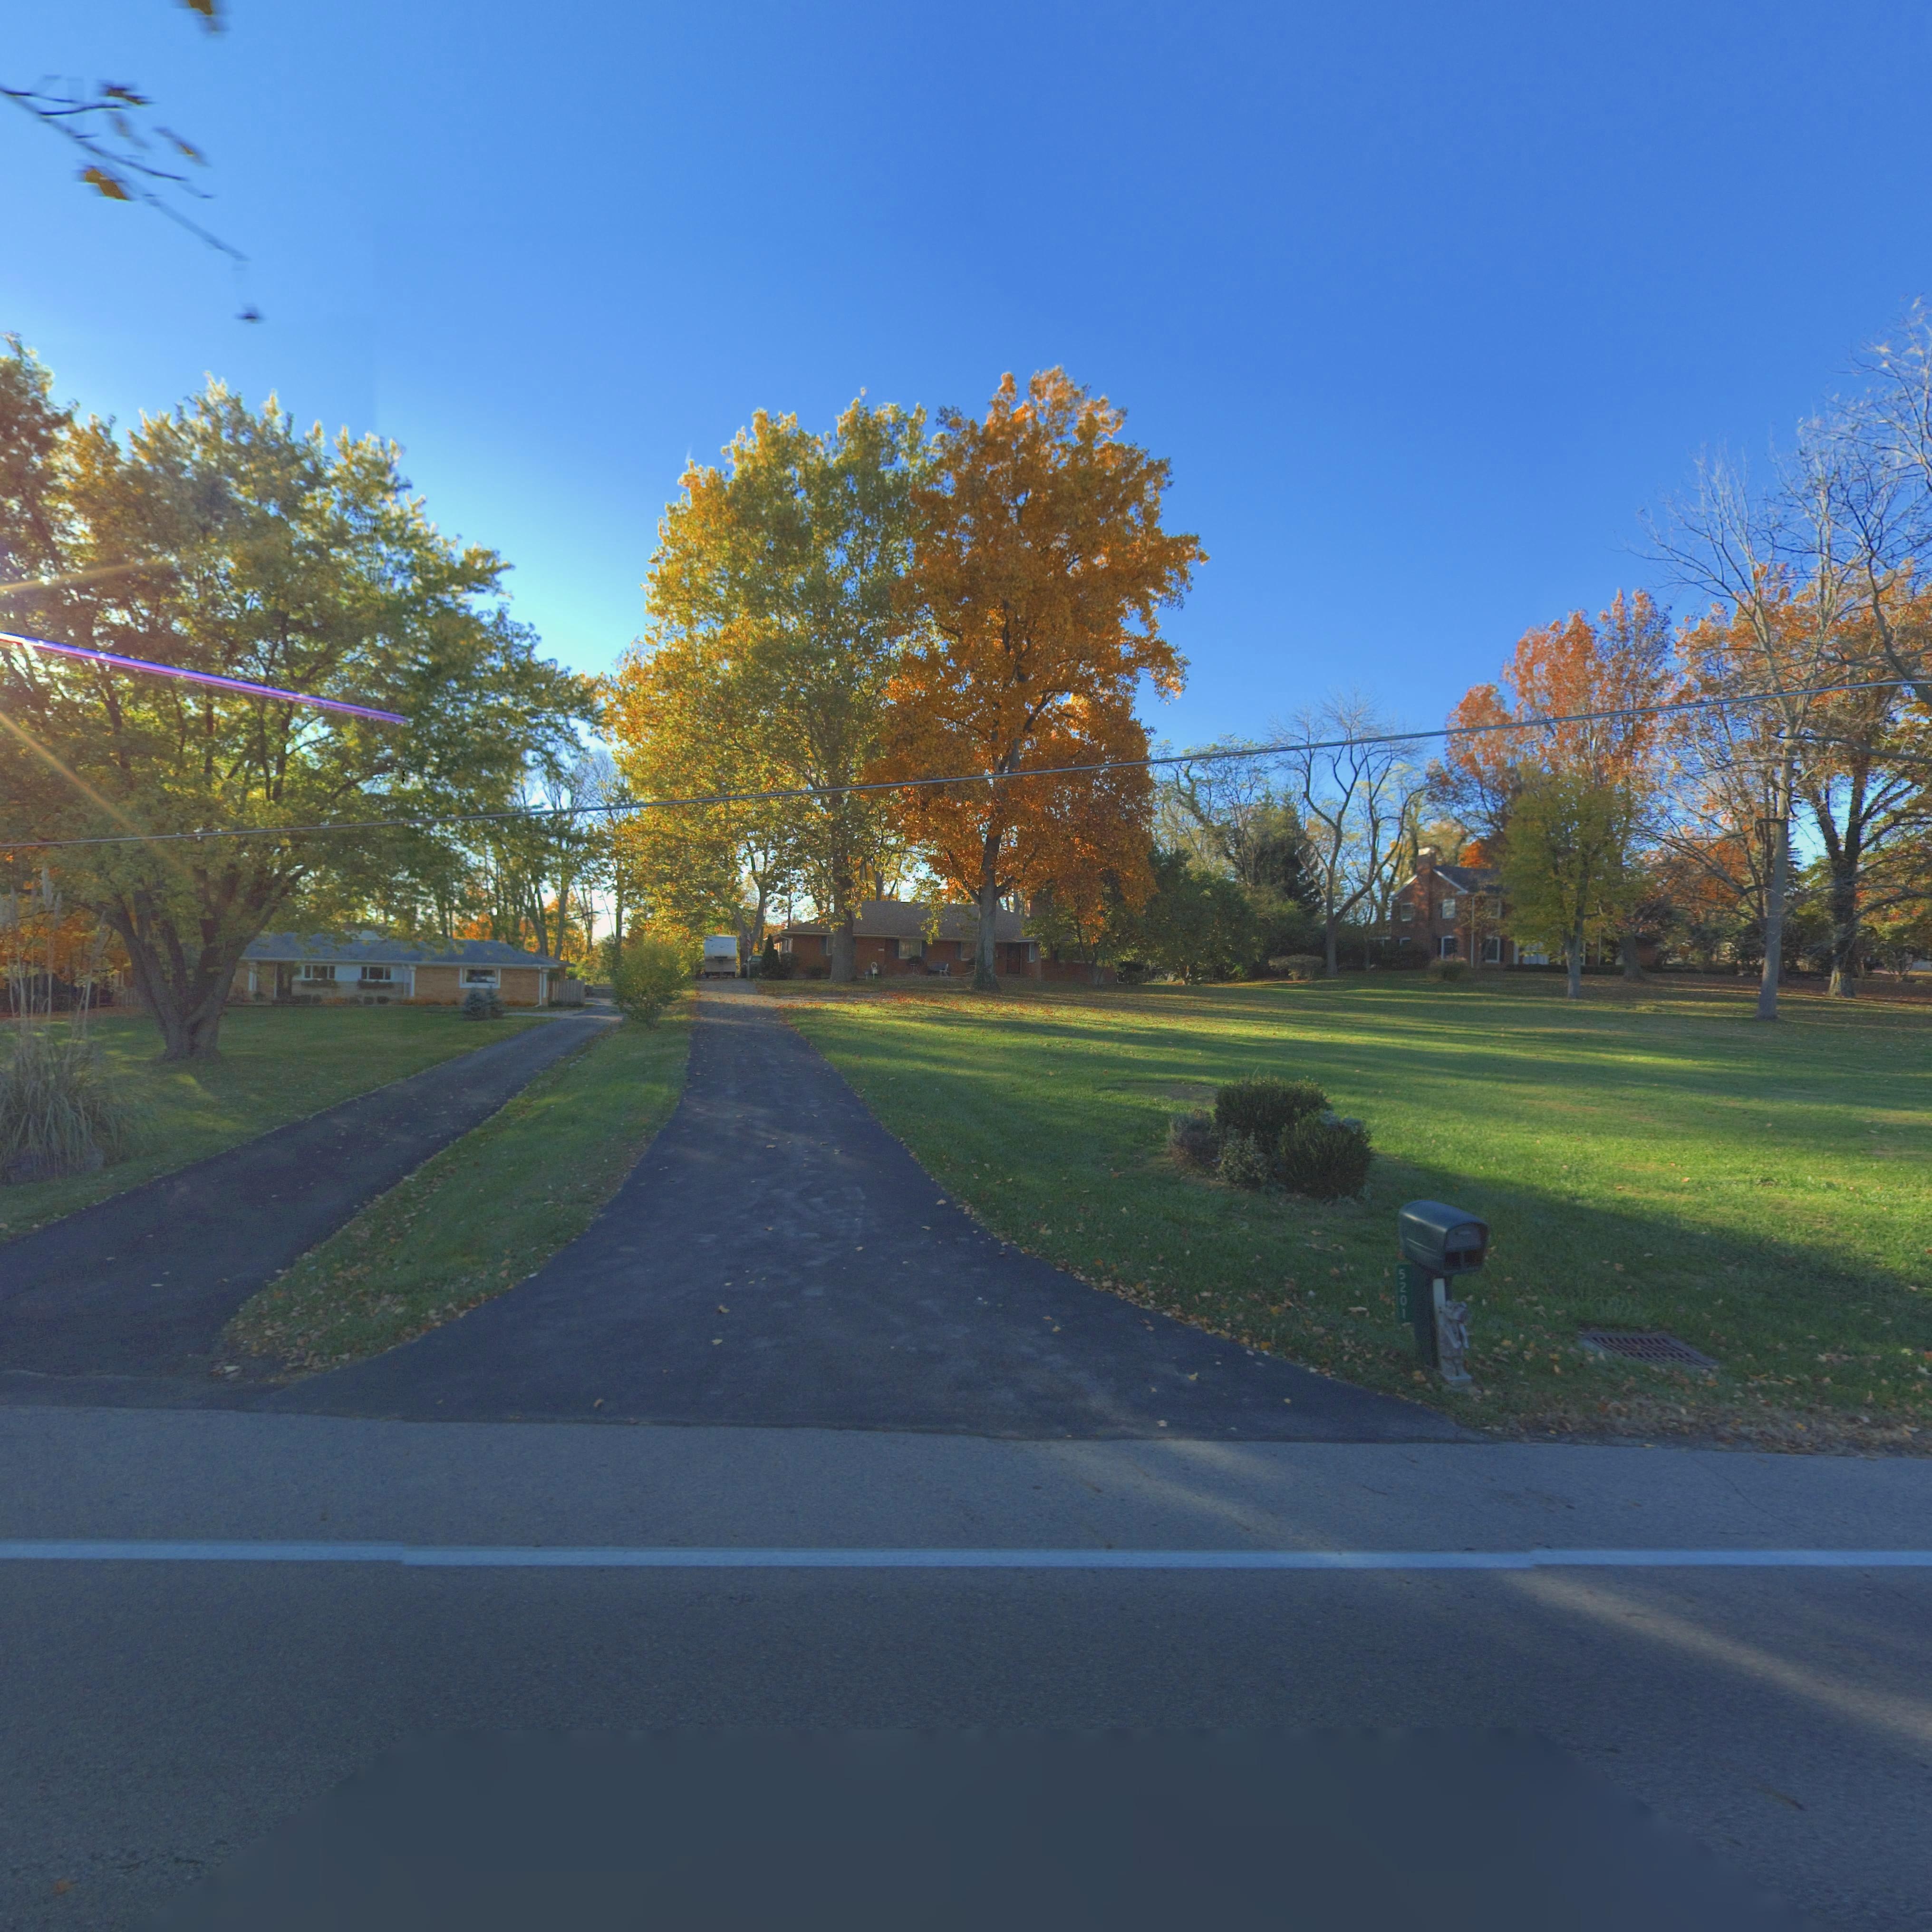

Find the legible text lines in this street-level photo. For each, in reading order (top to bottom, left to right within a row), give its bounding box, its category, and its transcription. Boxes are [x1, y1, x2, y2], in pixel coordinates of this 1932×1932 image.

[1396, 1267, 1410, 1320] StreetNumber: 5201